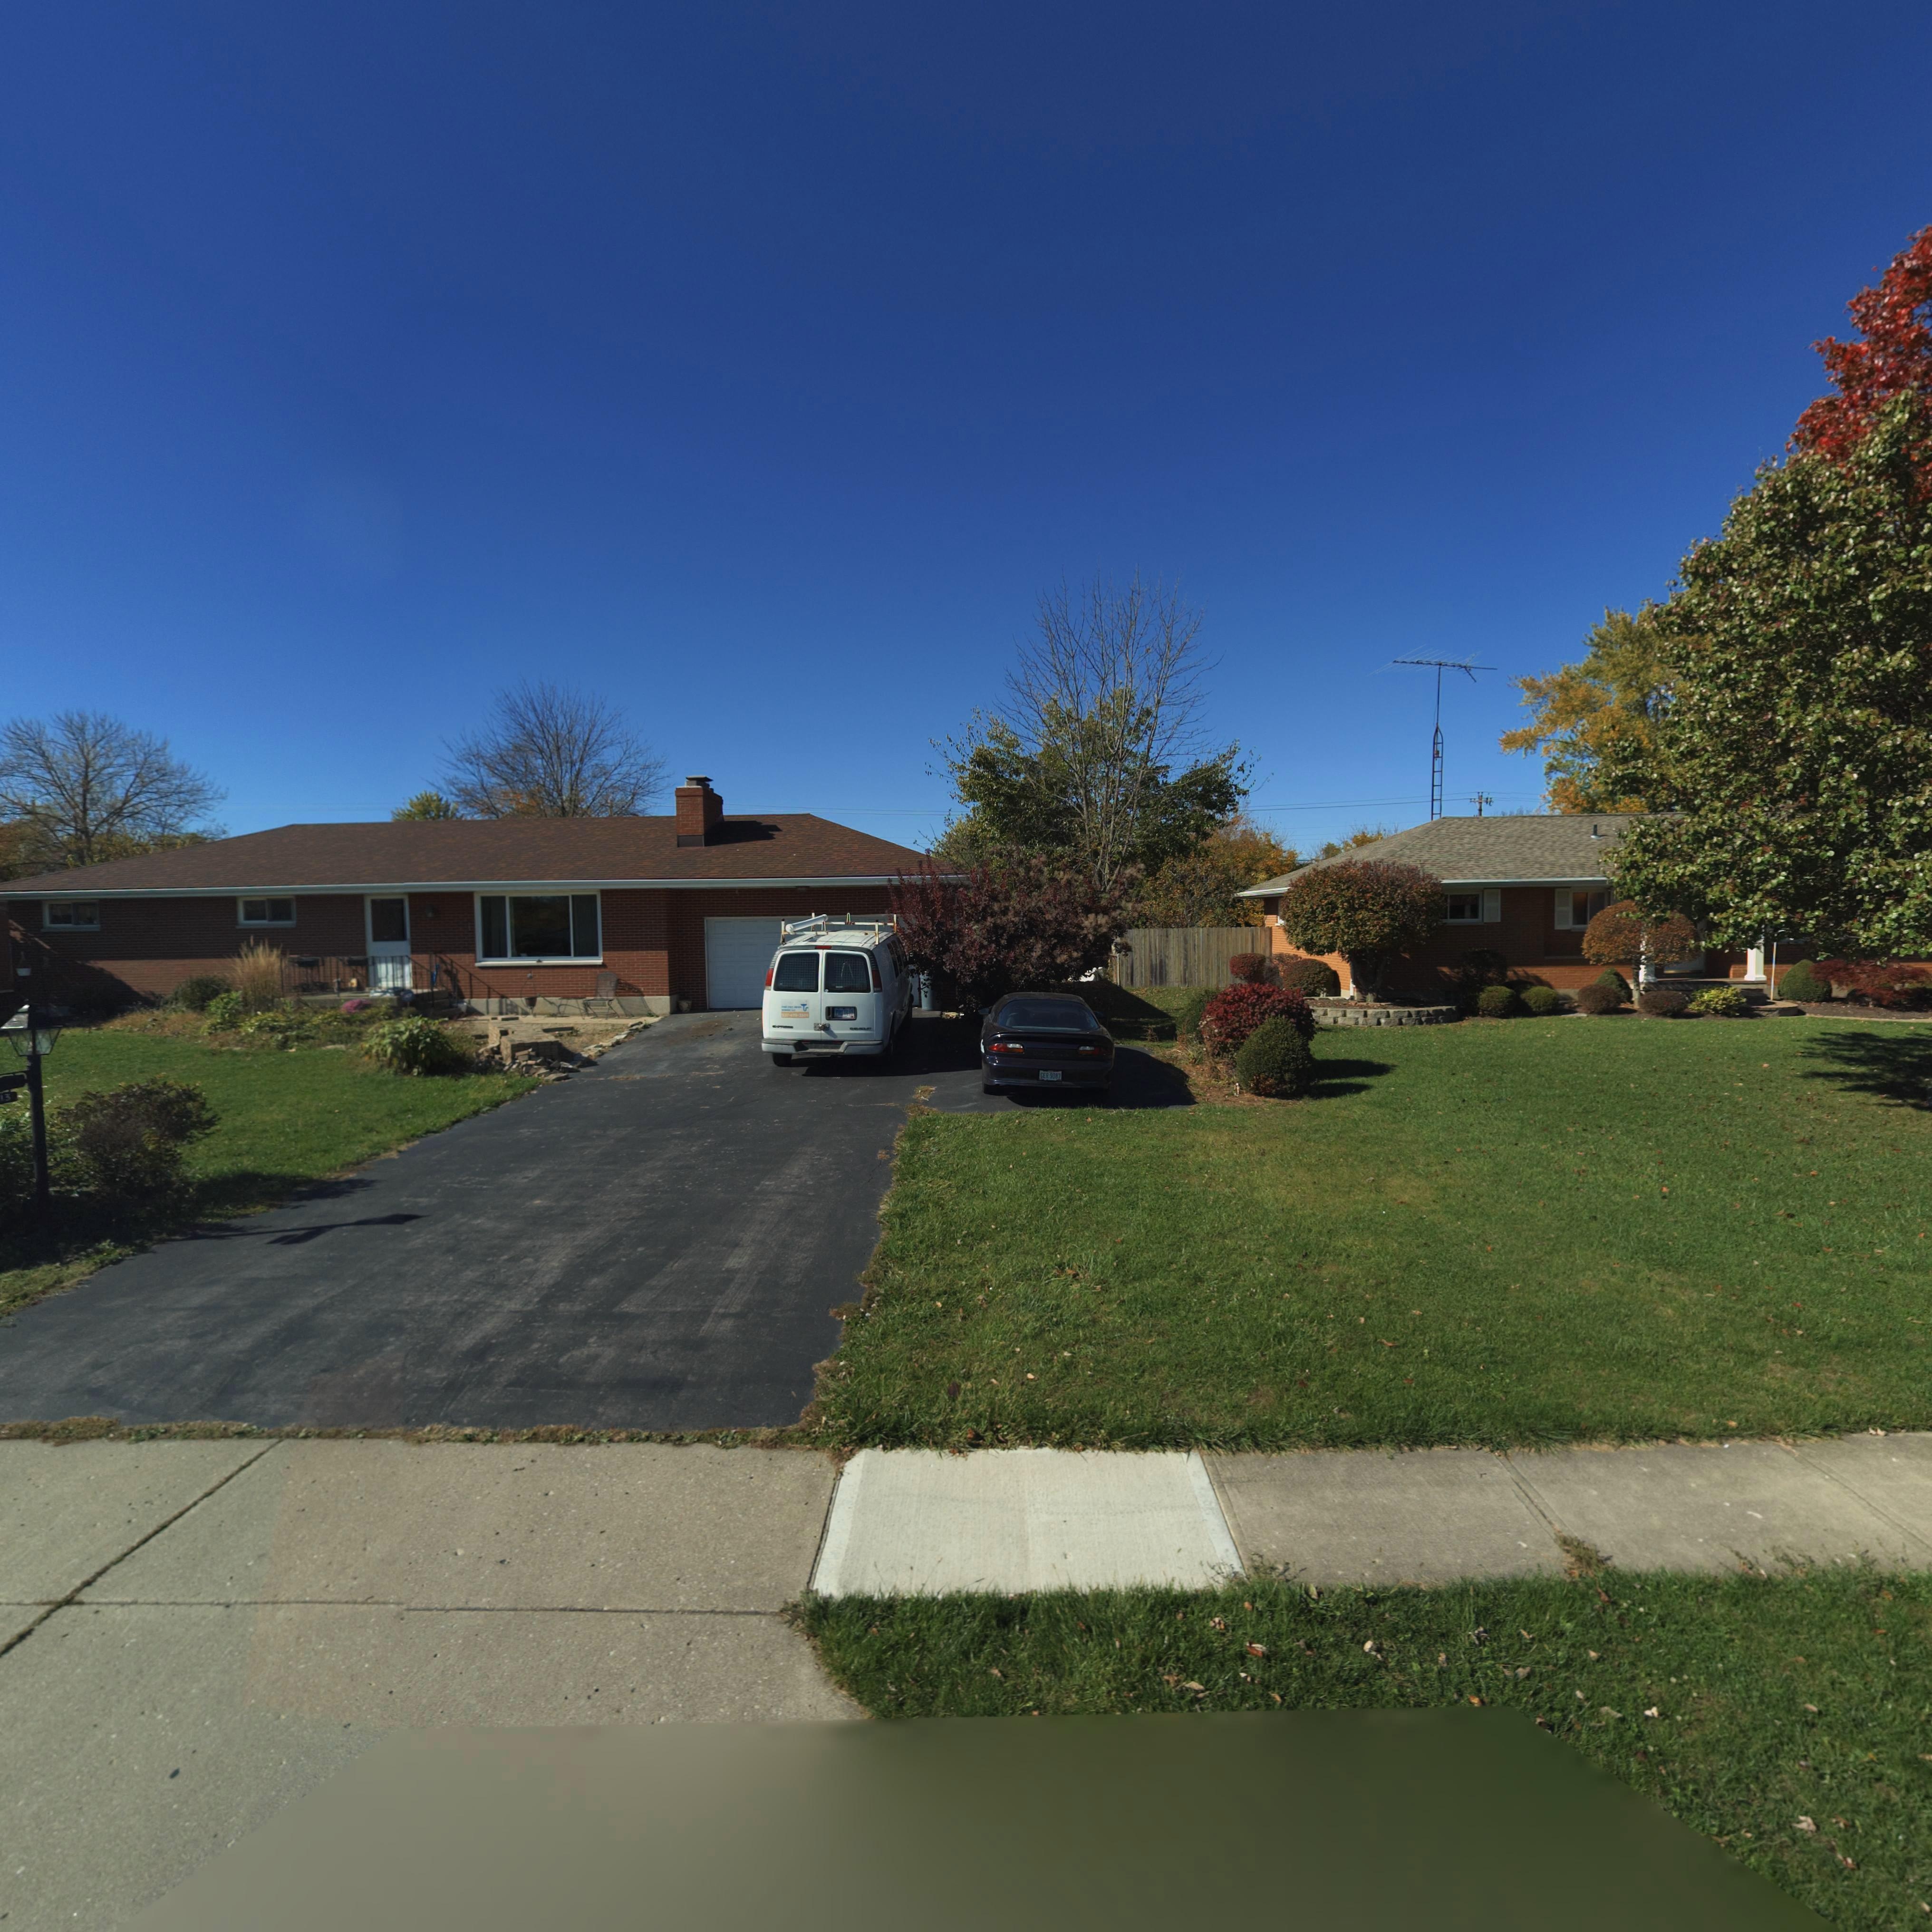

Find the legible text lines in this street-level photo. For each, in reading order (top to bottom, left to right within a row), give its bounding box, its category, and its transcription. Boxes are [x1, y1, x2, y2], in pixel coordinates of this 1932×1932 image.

[3, 1092, 12, 1102] StreetNumber: 3